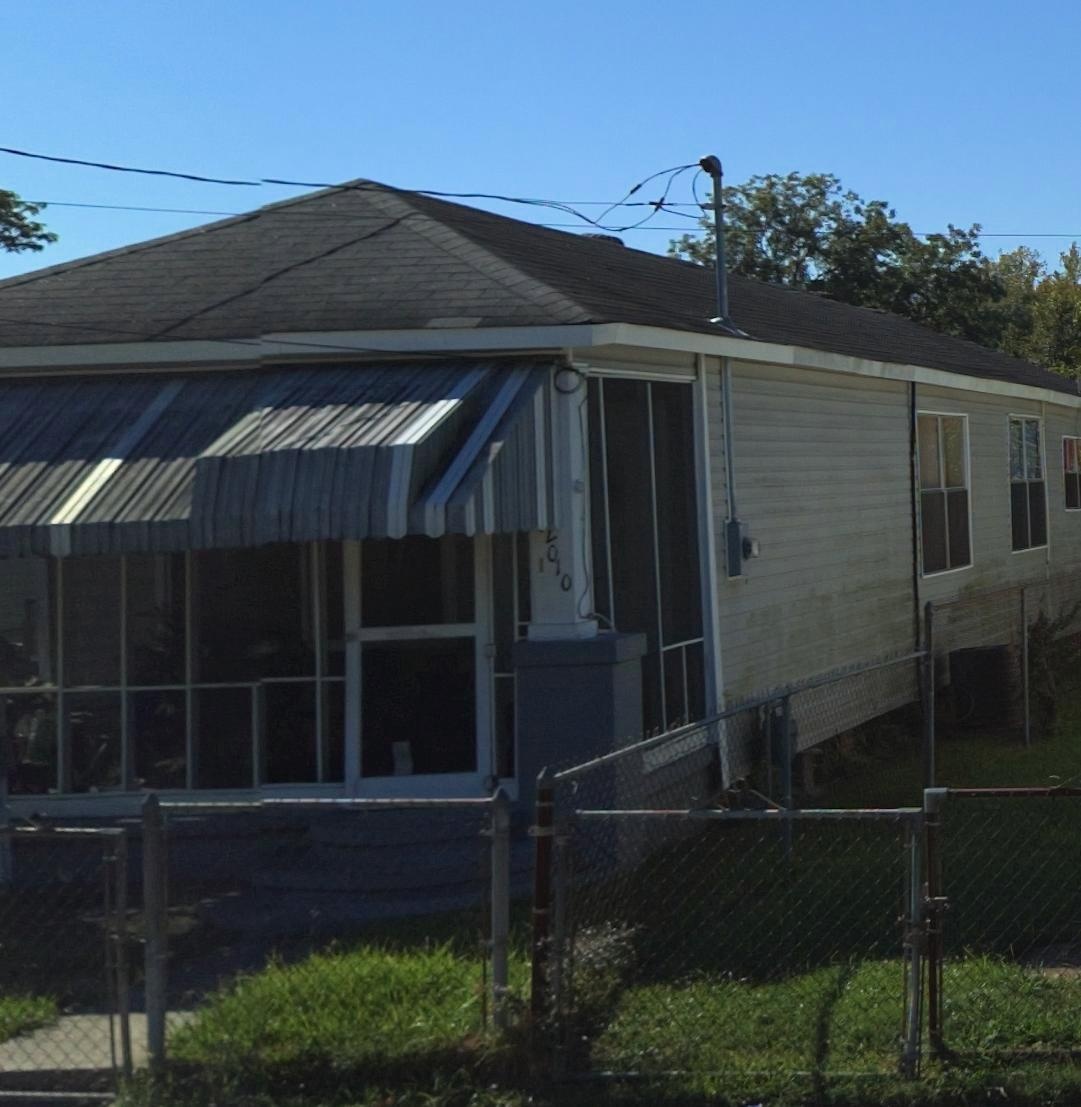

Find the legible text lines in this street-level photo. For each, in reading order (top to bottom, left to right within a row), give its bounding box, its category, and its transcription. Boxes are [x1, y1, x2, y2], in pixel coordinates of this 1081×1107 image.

[545, 542, 574, 593] StreetNumber: 010